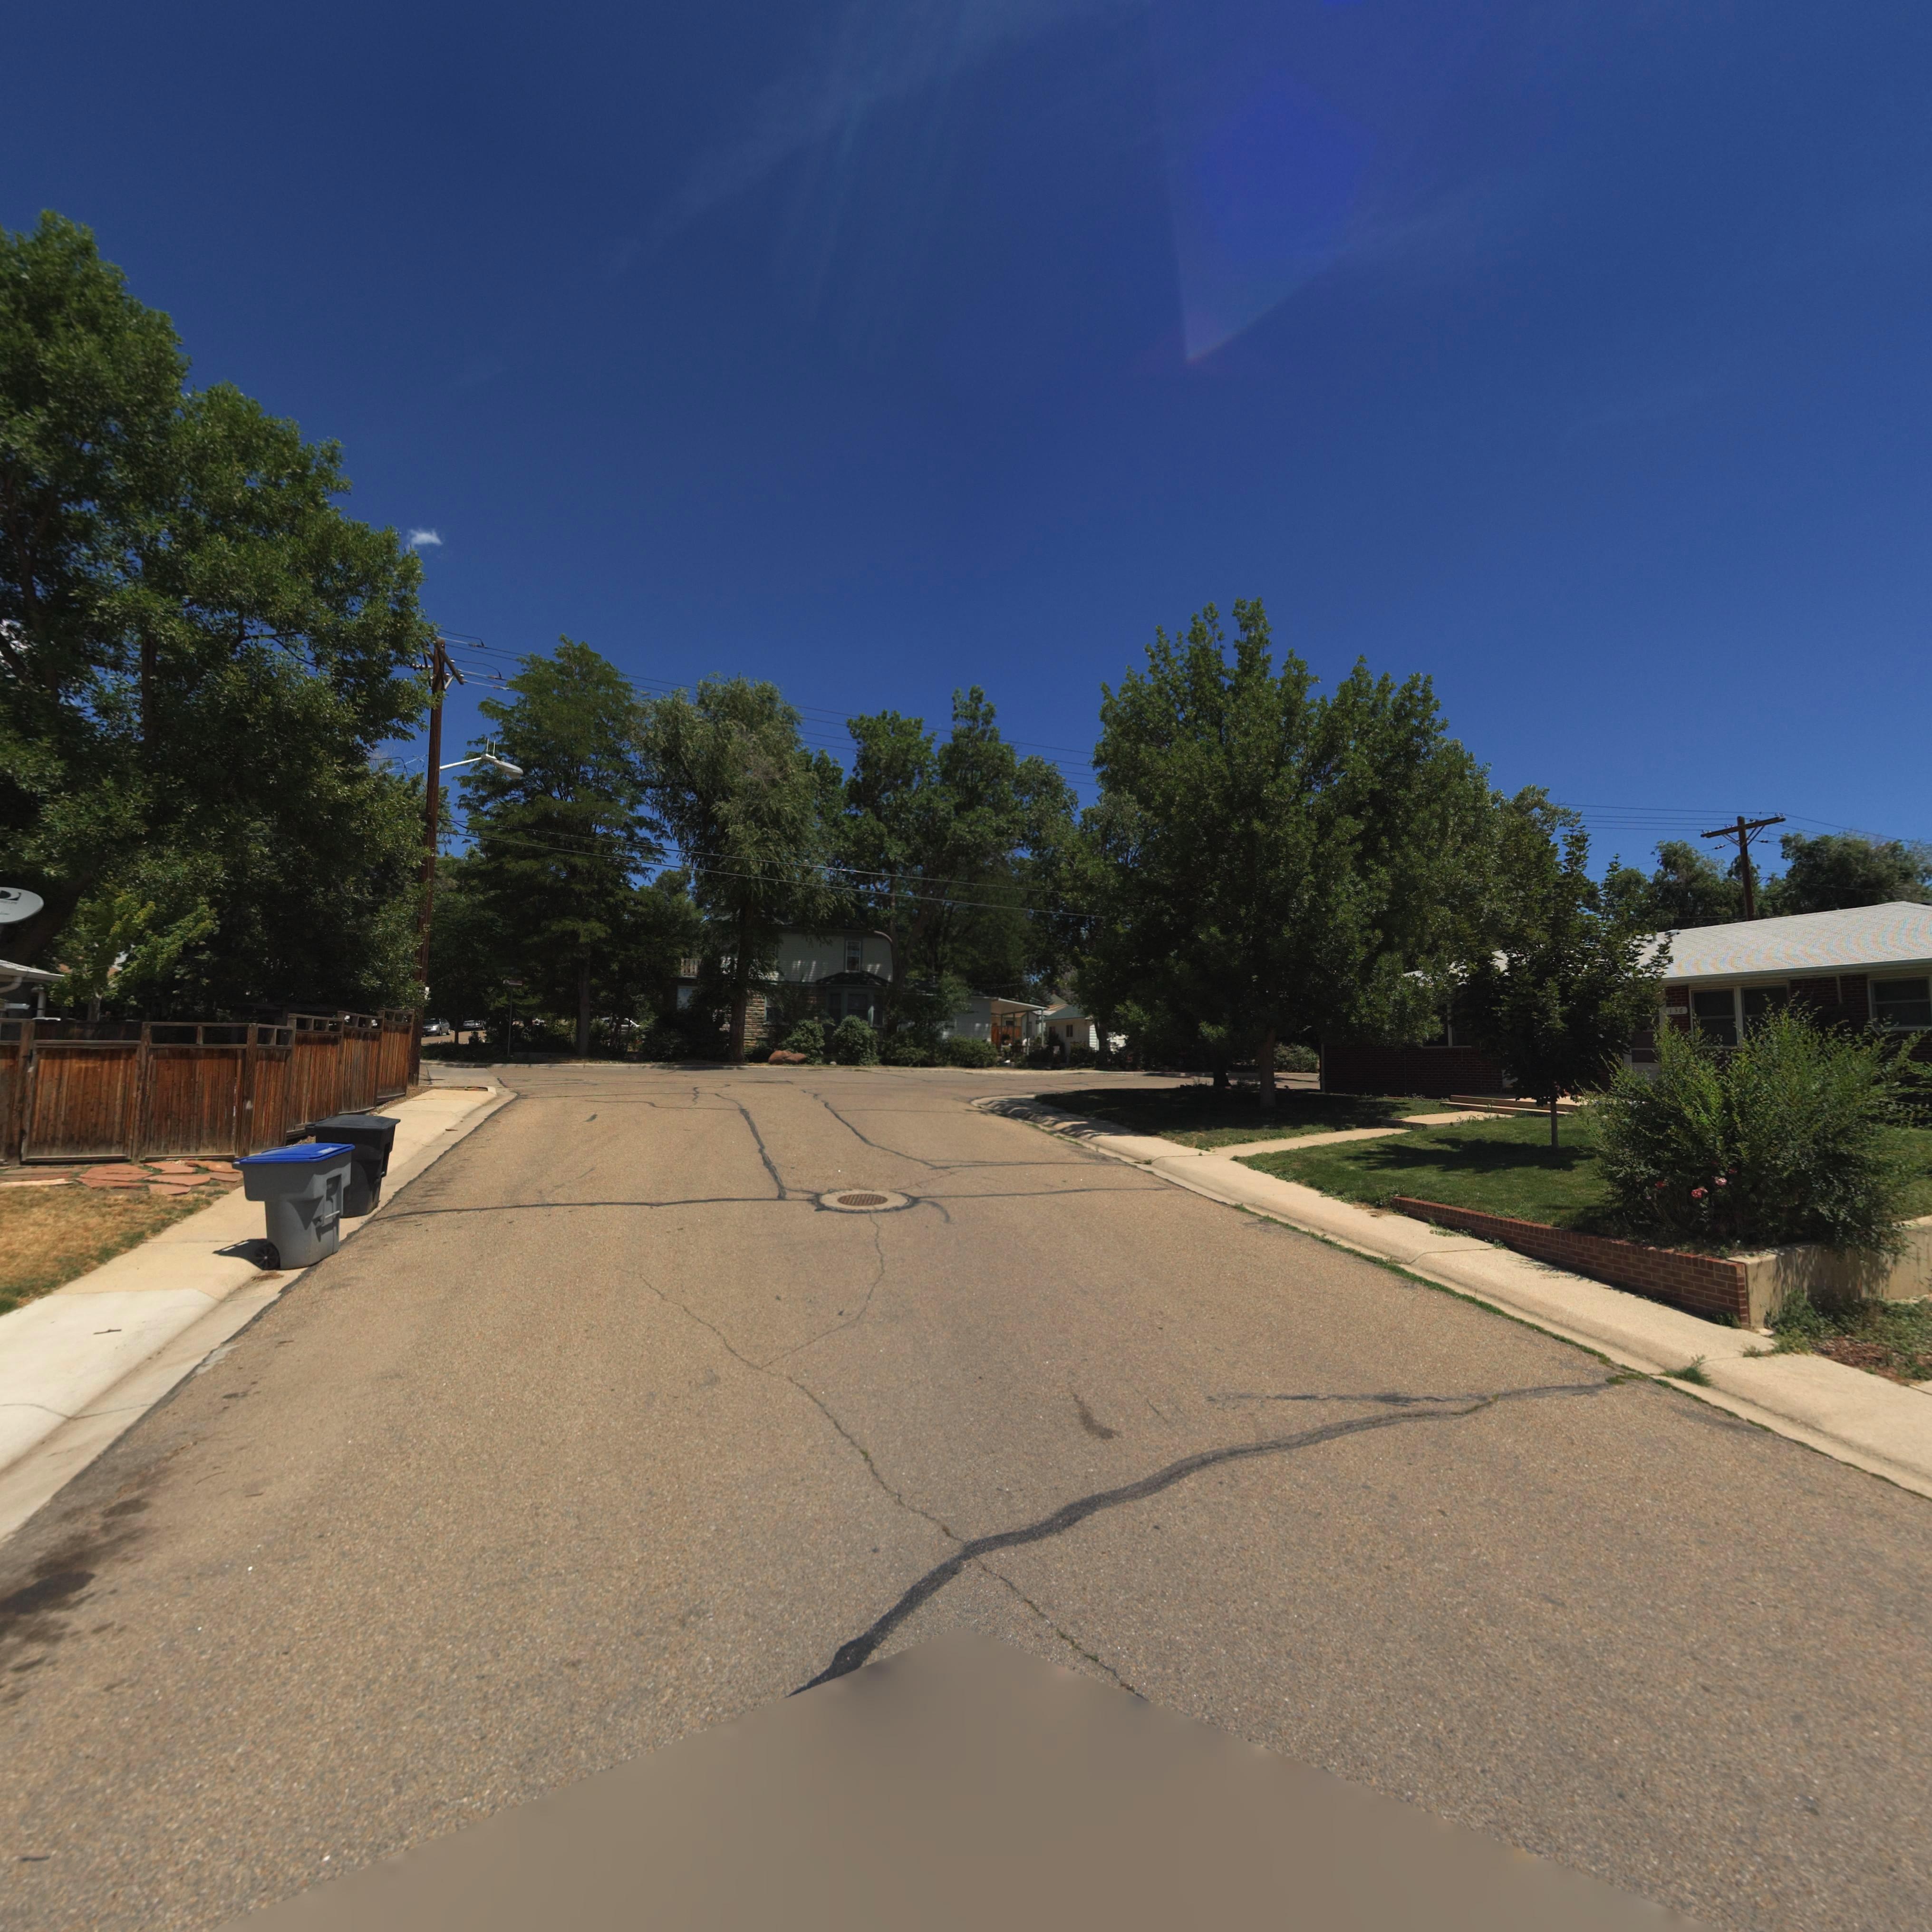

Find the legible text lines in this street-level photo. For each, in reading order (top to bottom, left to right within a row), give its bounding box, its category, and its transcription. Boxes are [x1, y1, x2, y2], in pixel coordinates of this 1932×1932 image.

[1669, 1007, 1683, 1014] StreetNumber: 136